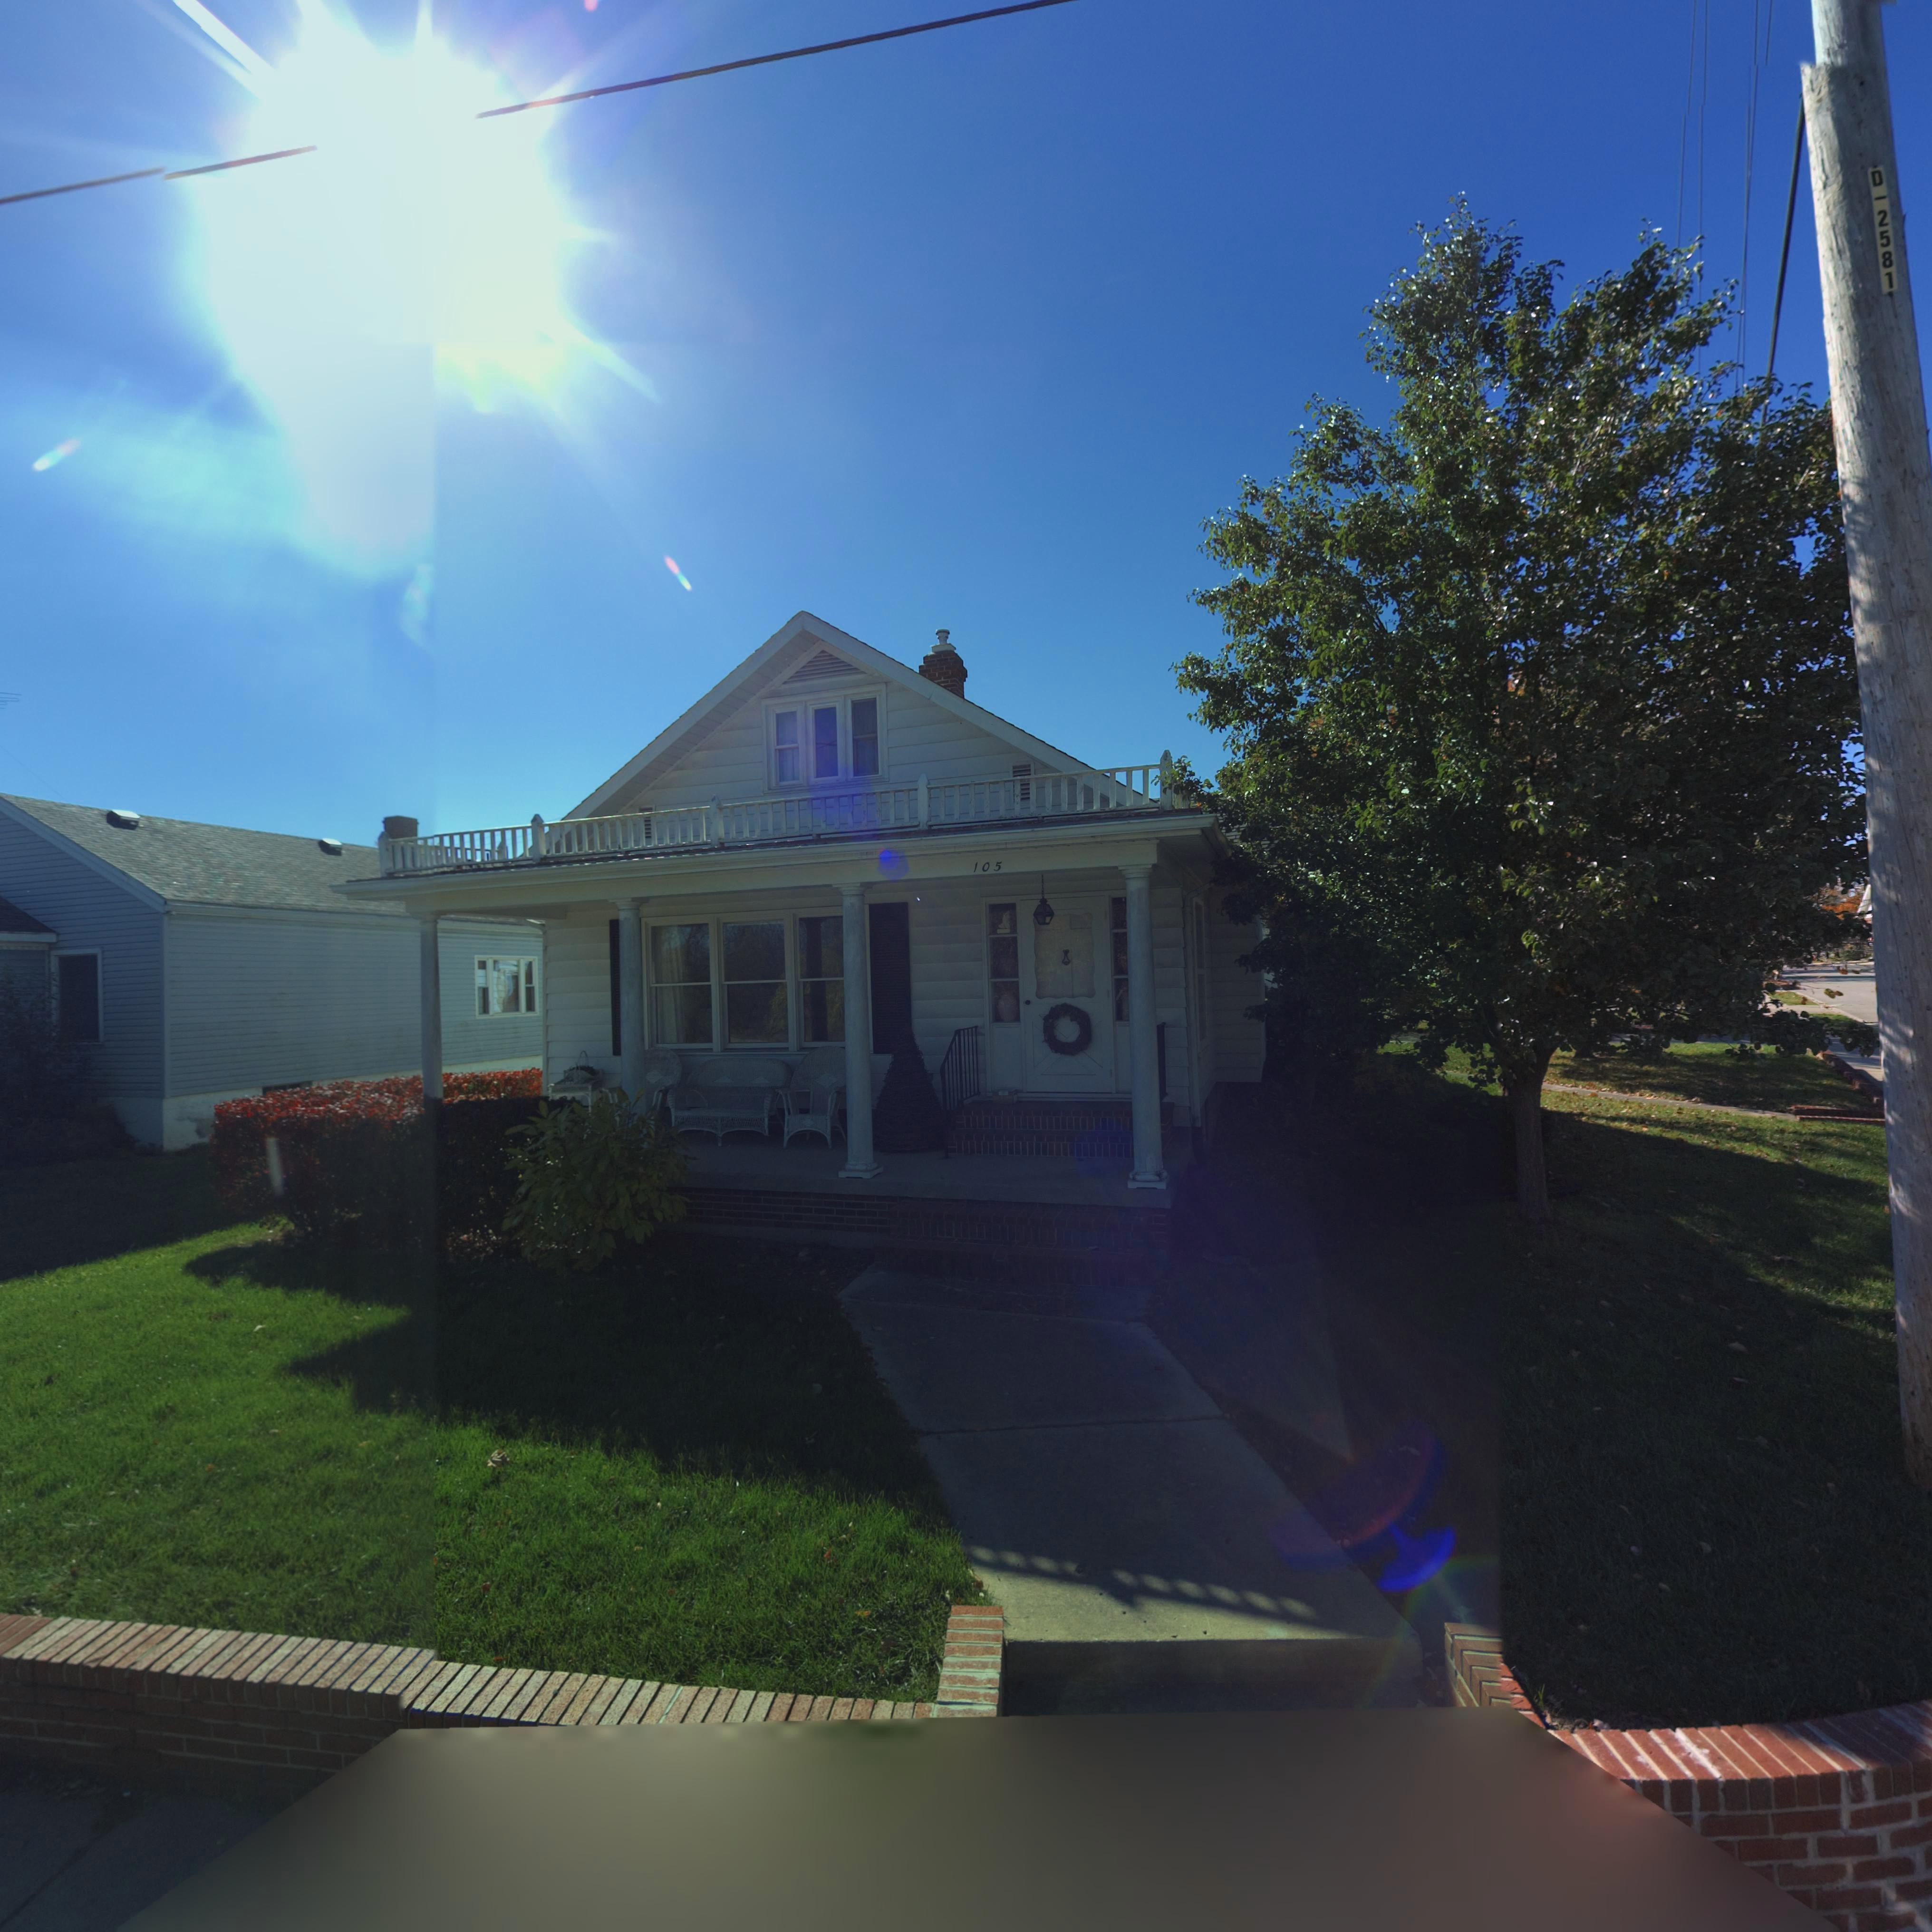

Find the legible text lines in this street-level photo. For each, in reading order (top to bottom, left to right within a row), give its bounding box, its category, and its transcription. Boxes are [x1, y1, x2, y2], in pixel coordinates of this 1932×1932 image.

[972, 860, 1004, 874] StreetNumber: 105